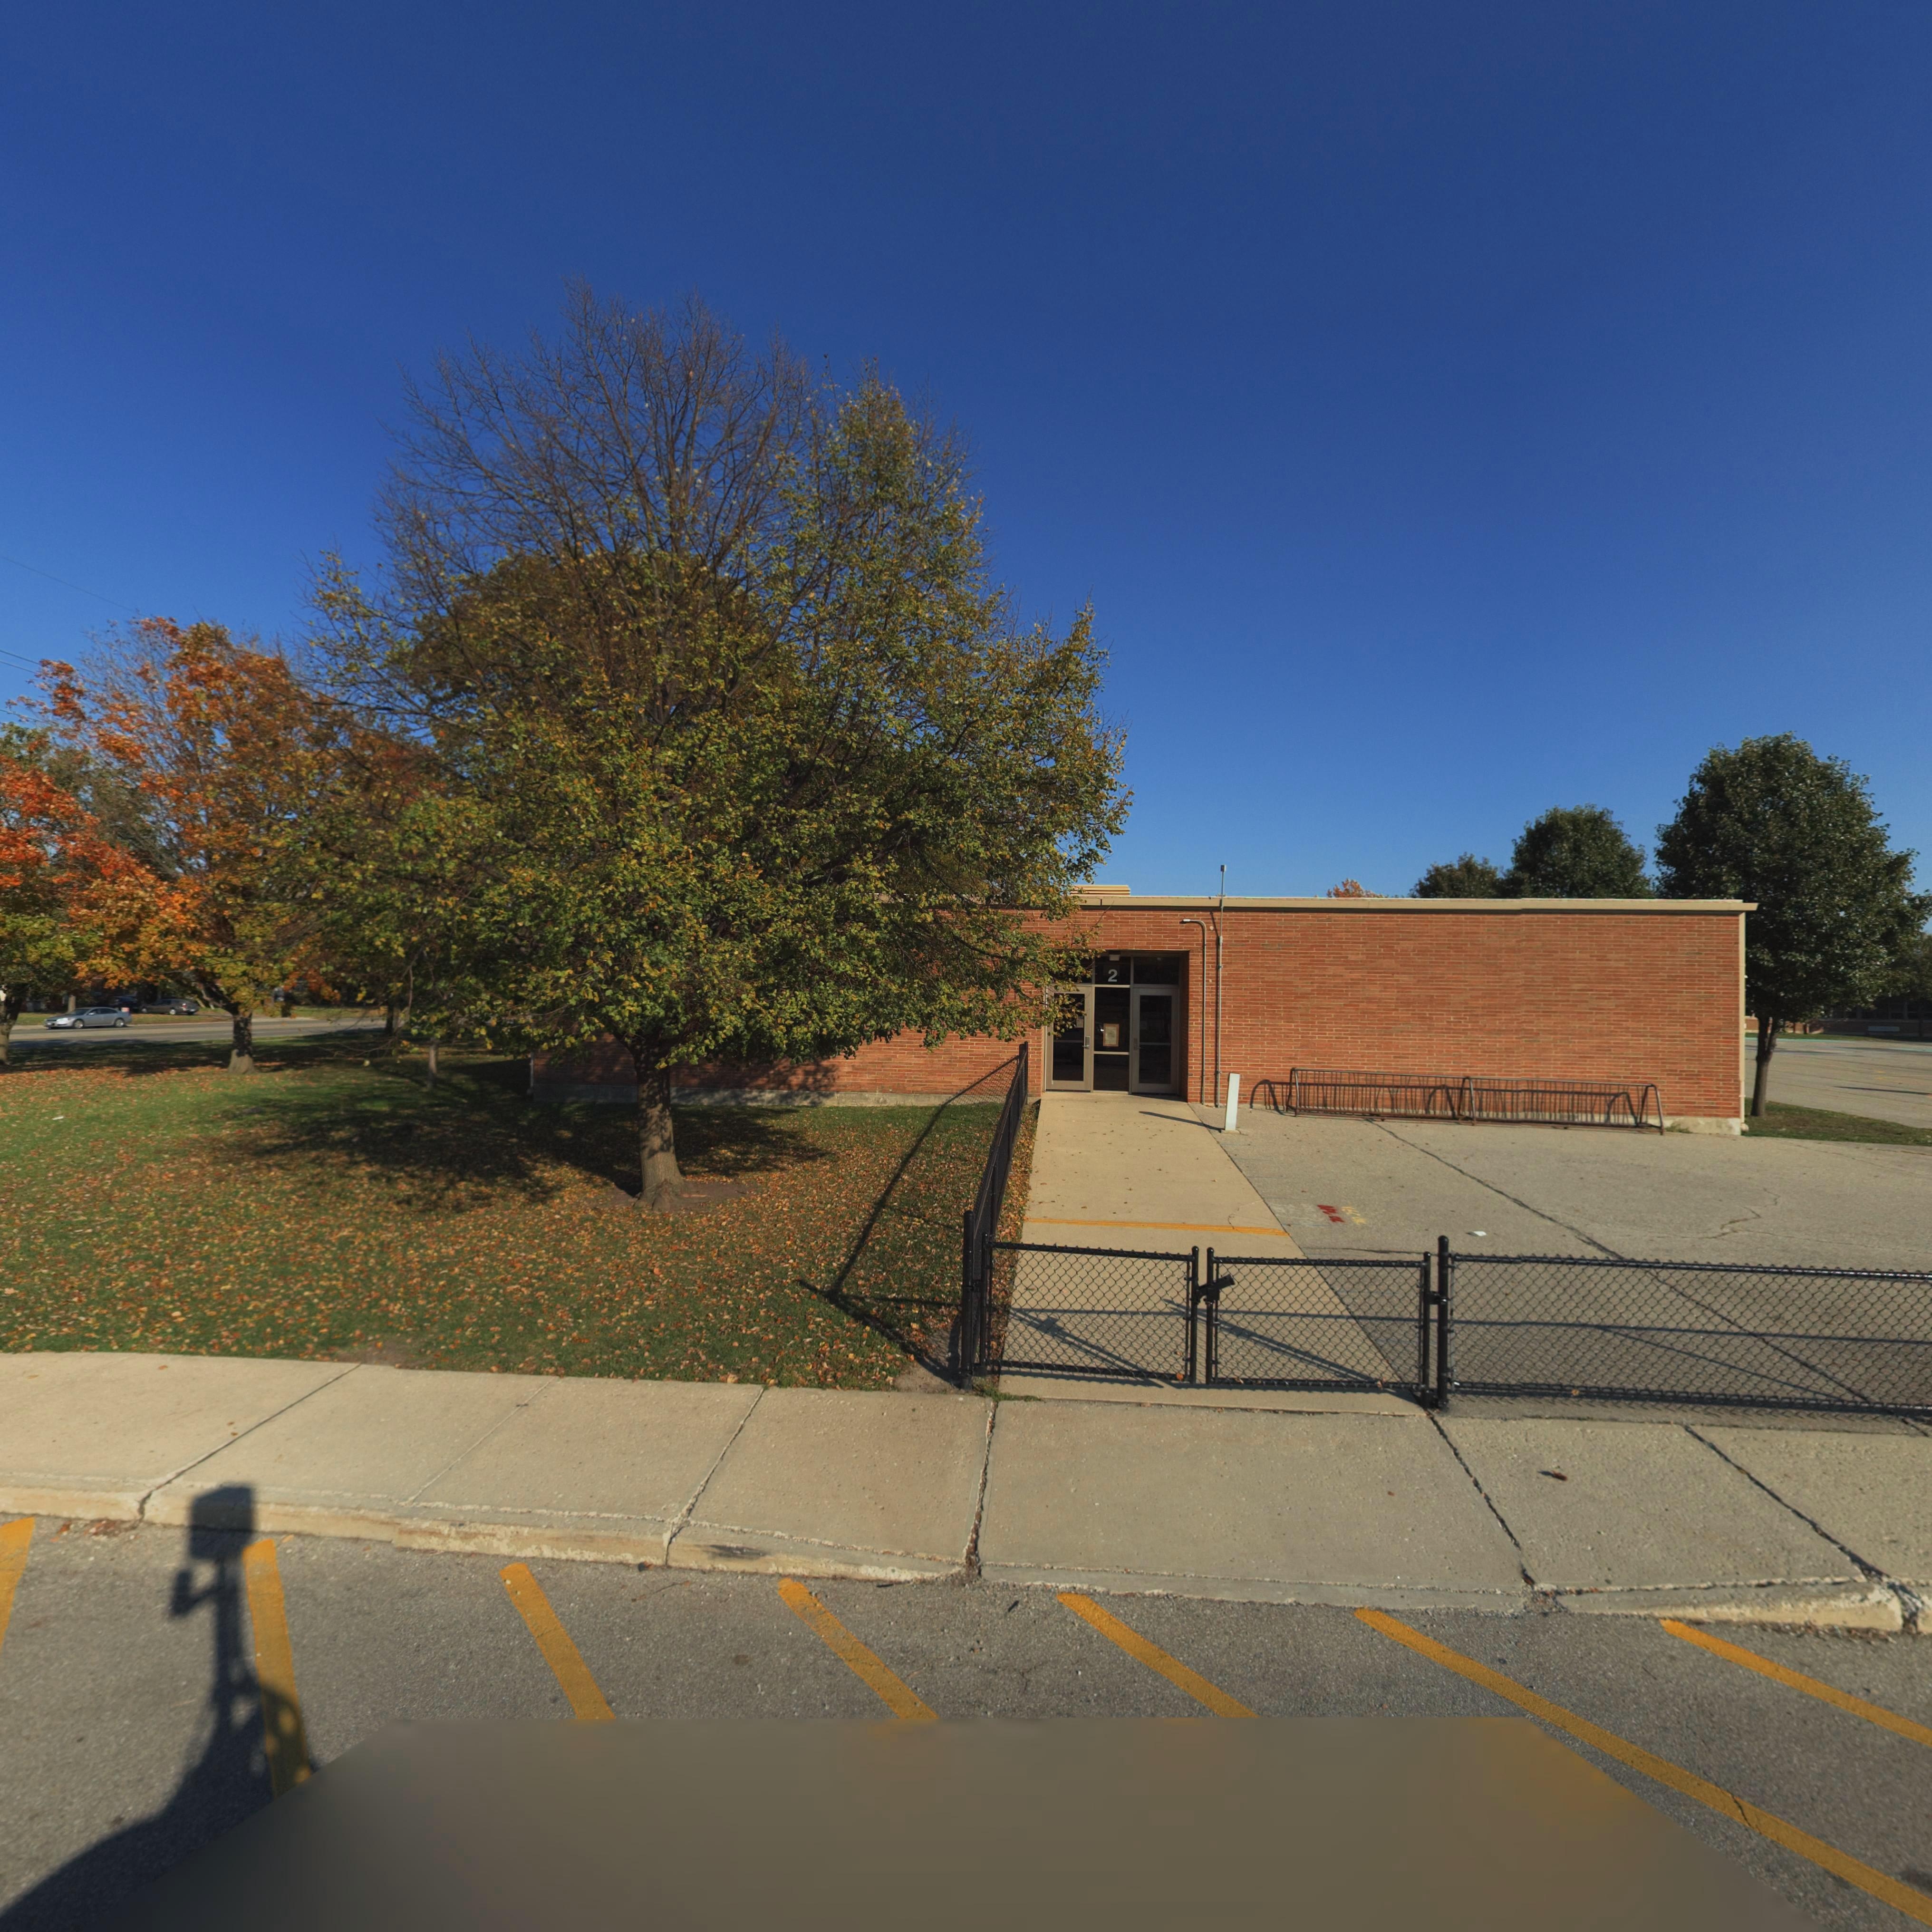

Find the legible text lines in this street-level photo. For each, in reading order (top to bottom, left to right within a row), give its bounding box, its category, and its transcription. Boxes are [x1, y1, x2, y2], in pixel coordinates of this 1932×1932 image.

[1108, 969, 1118, 982] StreetNumber: 2